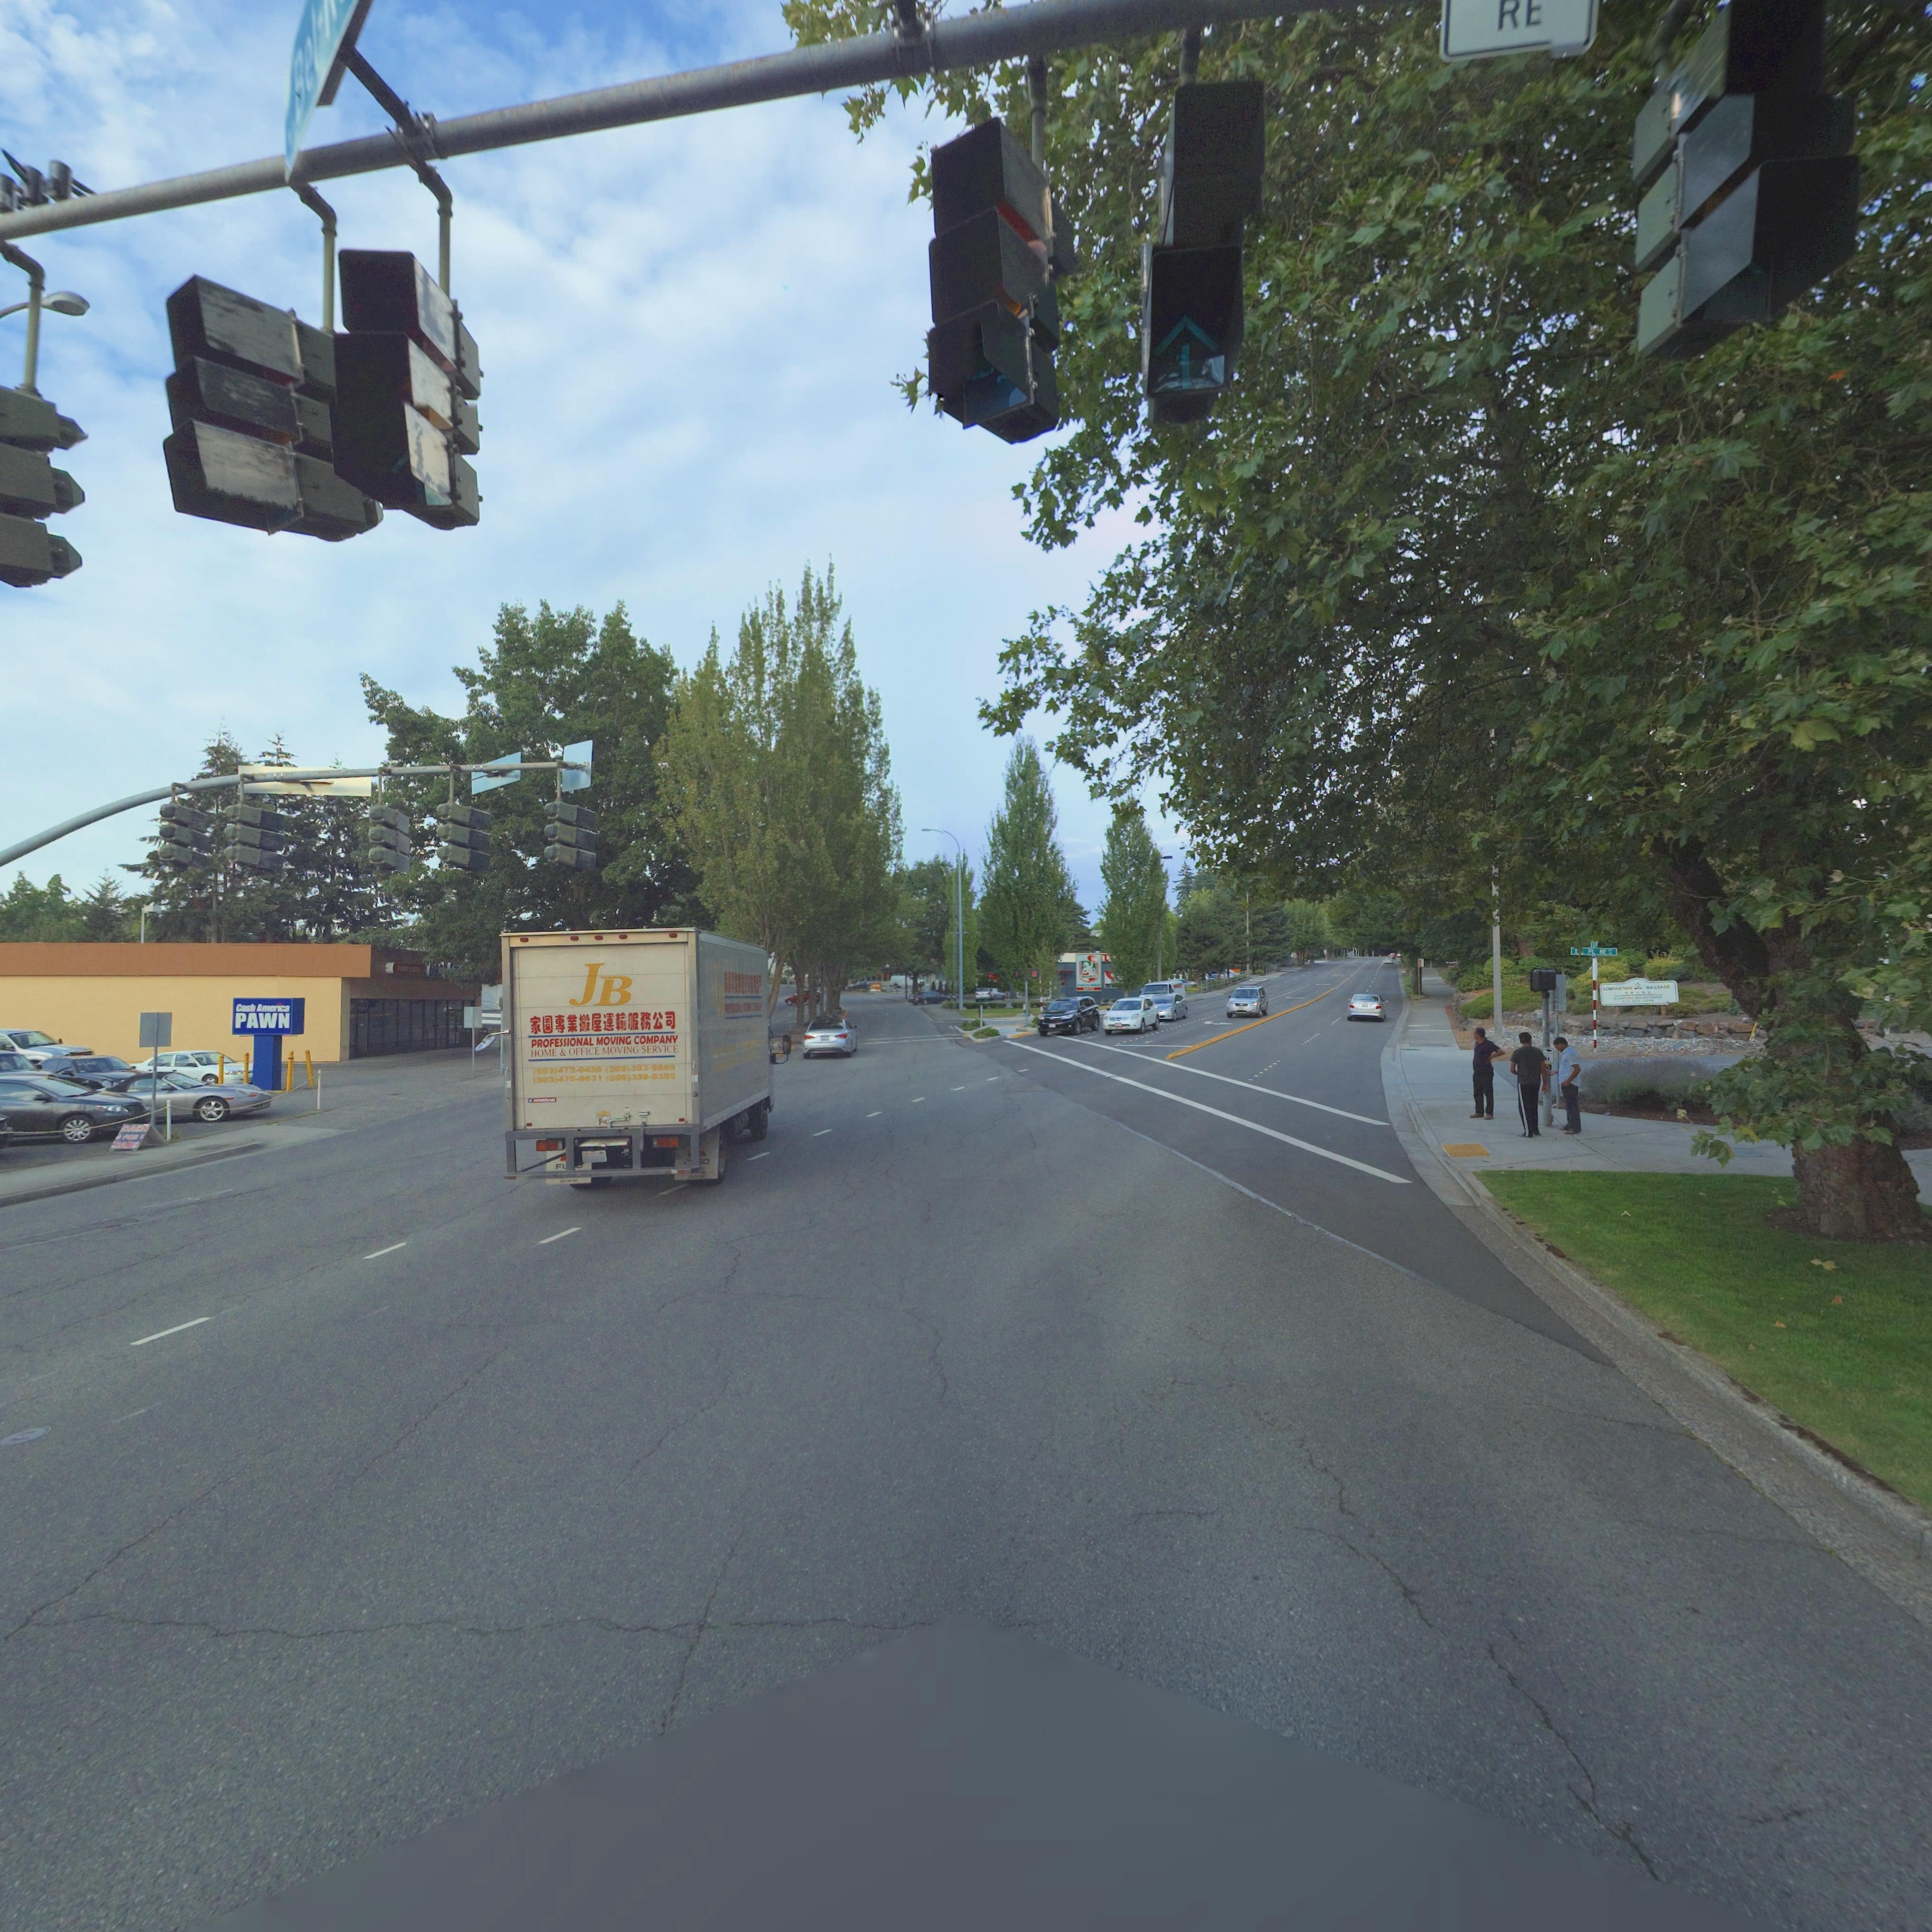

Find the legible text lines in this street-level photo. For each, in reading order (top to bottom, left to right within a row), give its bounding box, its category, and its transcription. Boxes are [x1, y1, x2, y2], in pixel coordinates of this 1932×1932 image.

[1587, 948, 1607, 955] StreetName: PL NE
[235, 1002, 290, 1028] BusinessName: Cash America PAWN